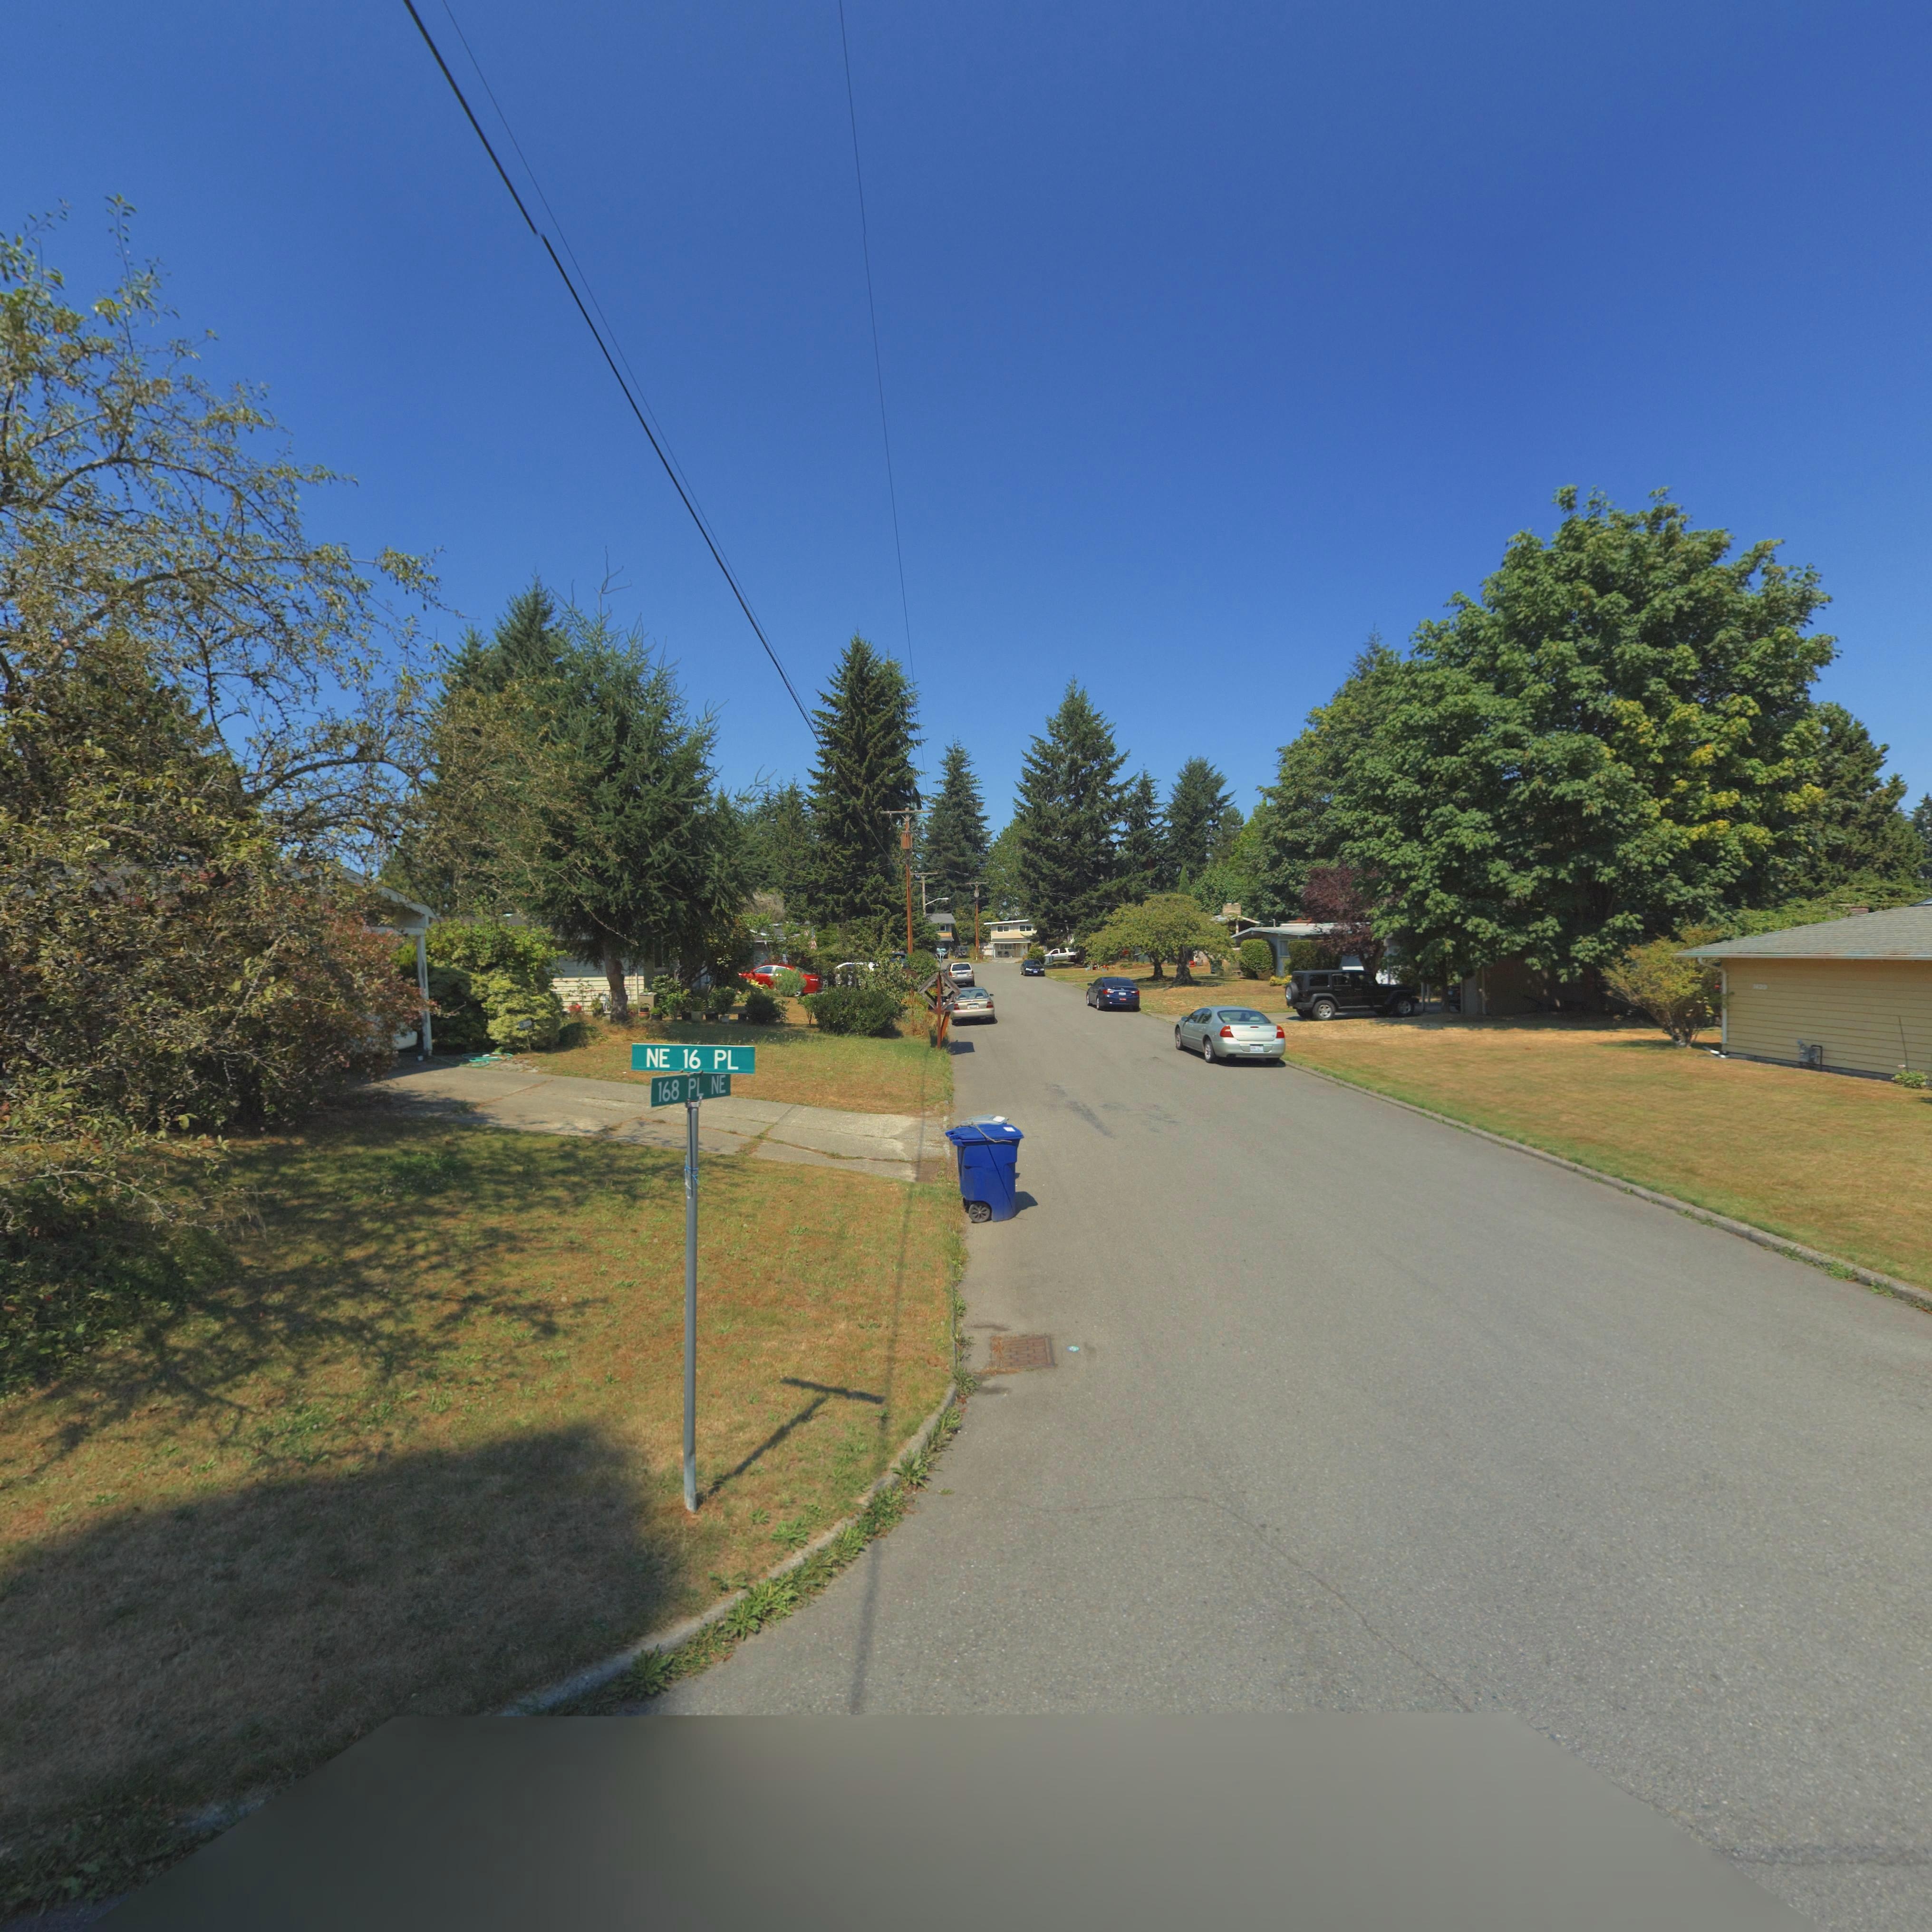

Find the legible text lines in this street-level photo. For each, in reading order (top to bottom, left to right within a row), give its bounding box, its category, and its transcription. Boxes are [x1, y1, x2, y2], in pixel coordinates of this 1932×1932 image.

[647, 1048, 739, 1070] StreetName: NE 16 PL
[655, 1074, 727, 1102] StreetName: 168 PL NE